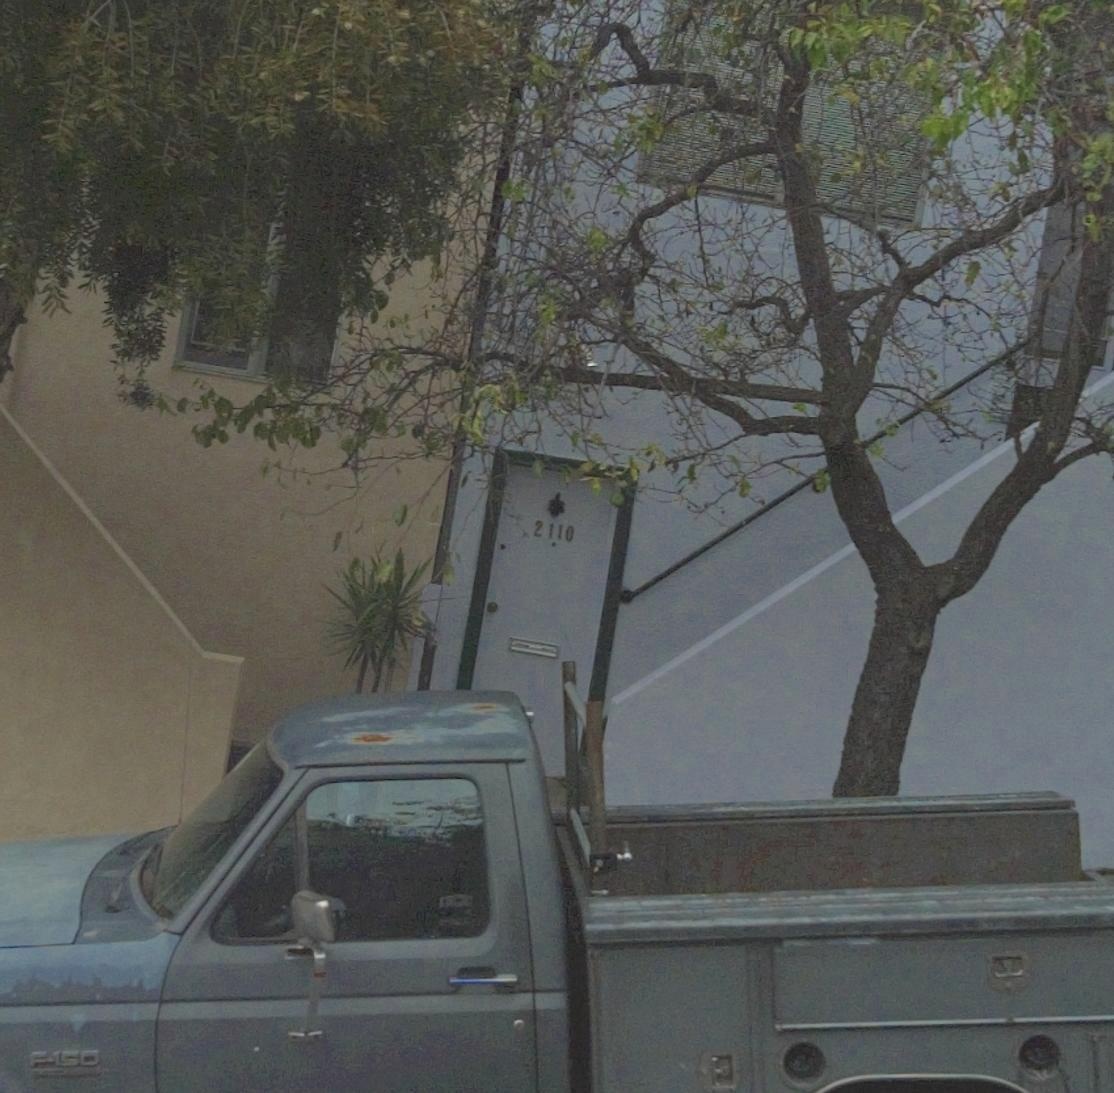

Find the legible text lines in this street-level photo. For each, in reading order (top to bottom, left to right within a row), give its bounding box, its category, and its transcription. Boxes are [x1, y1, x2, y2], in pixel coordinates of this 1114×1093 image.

[533, 518, 576, 543] StreetNumber: 2110
[30, 1048, 101, 1068] None: F-150